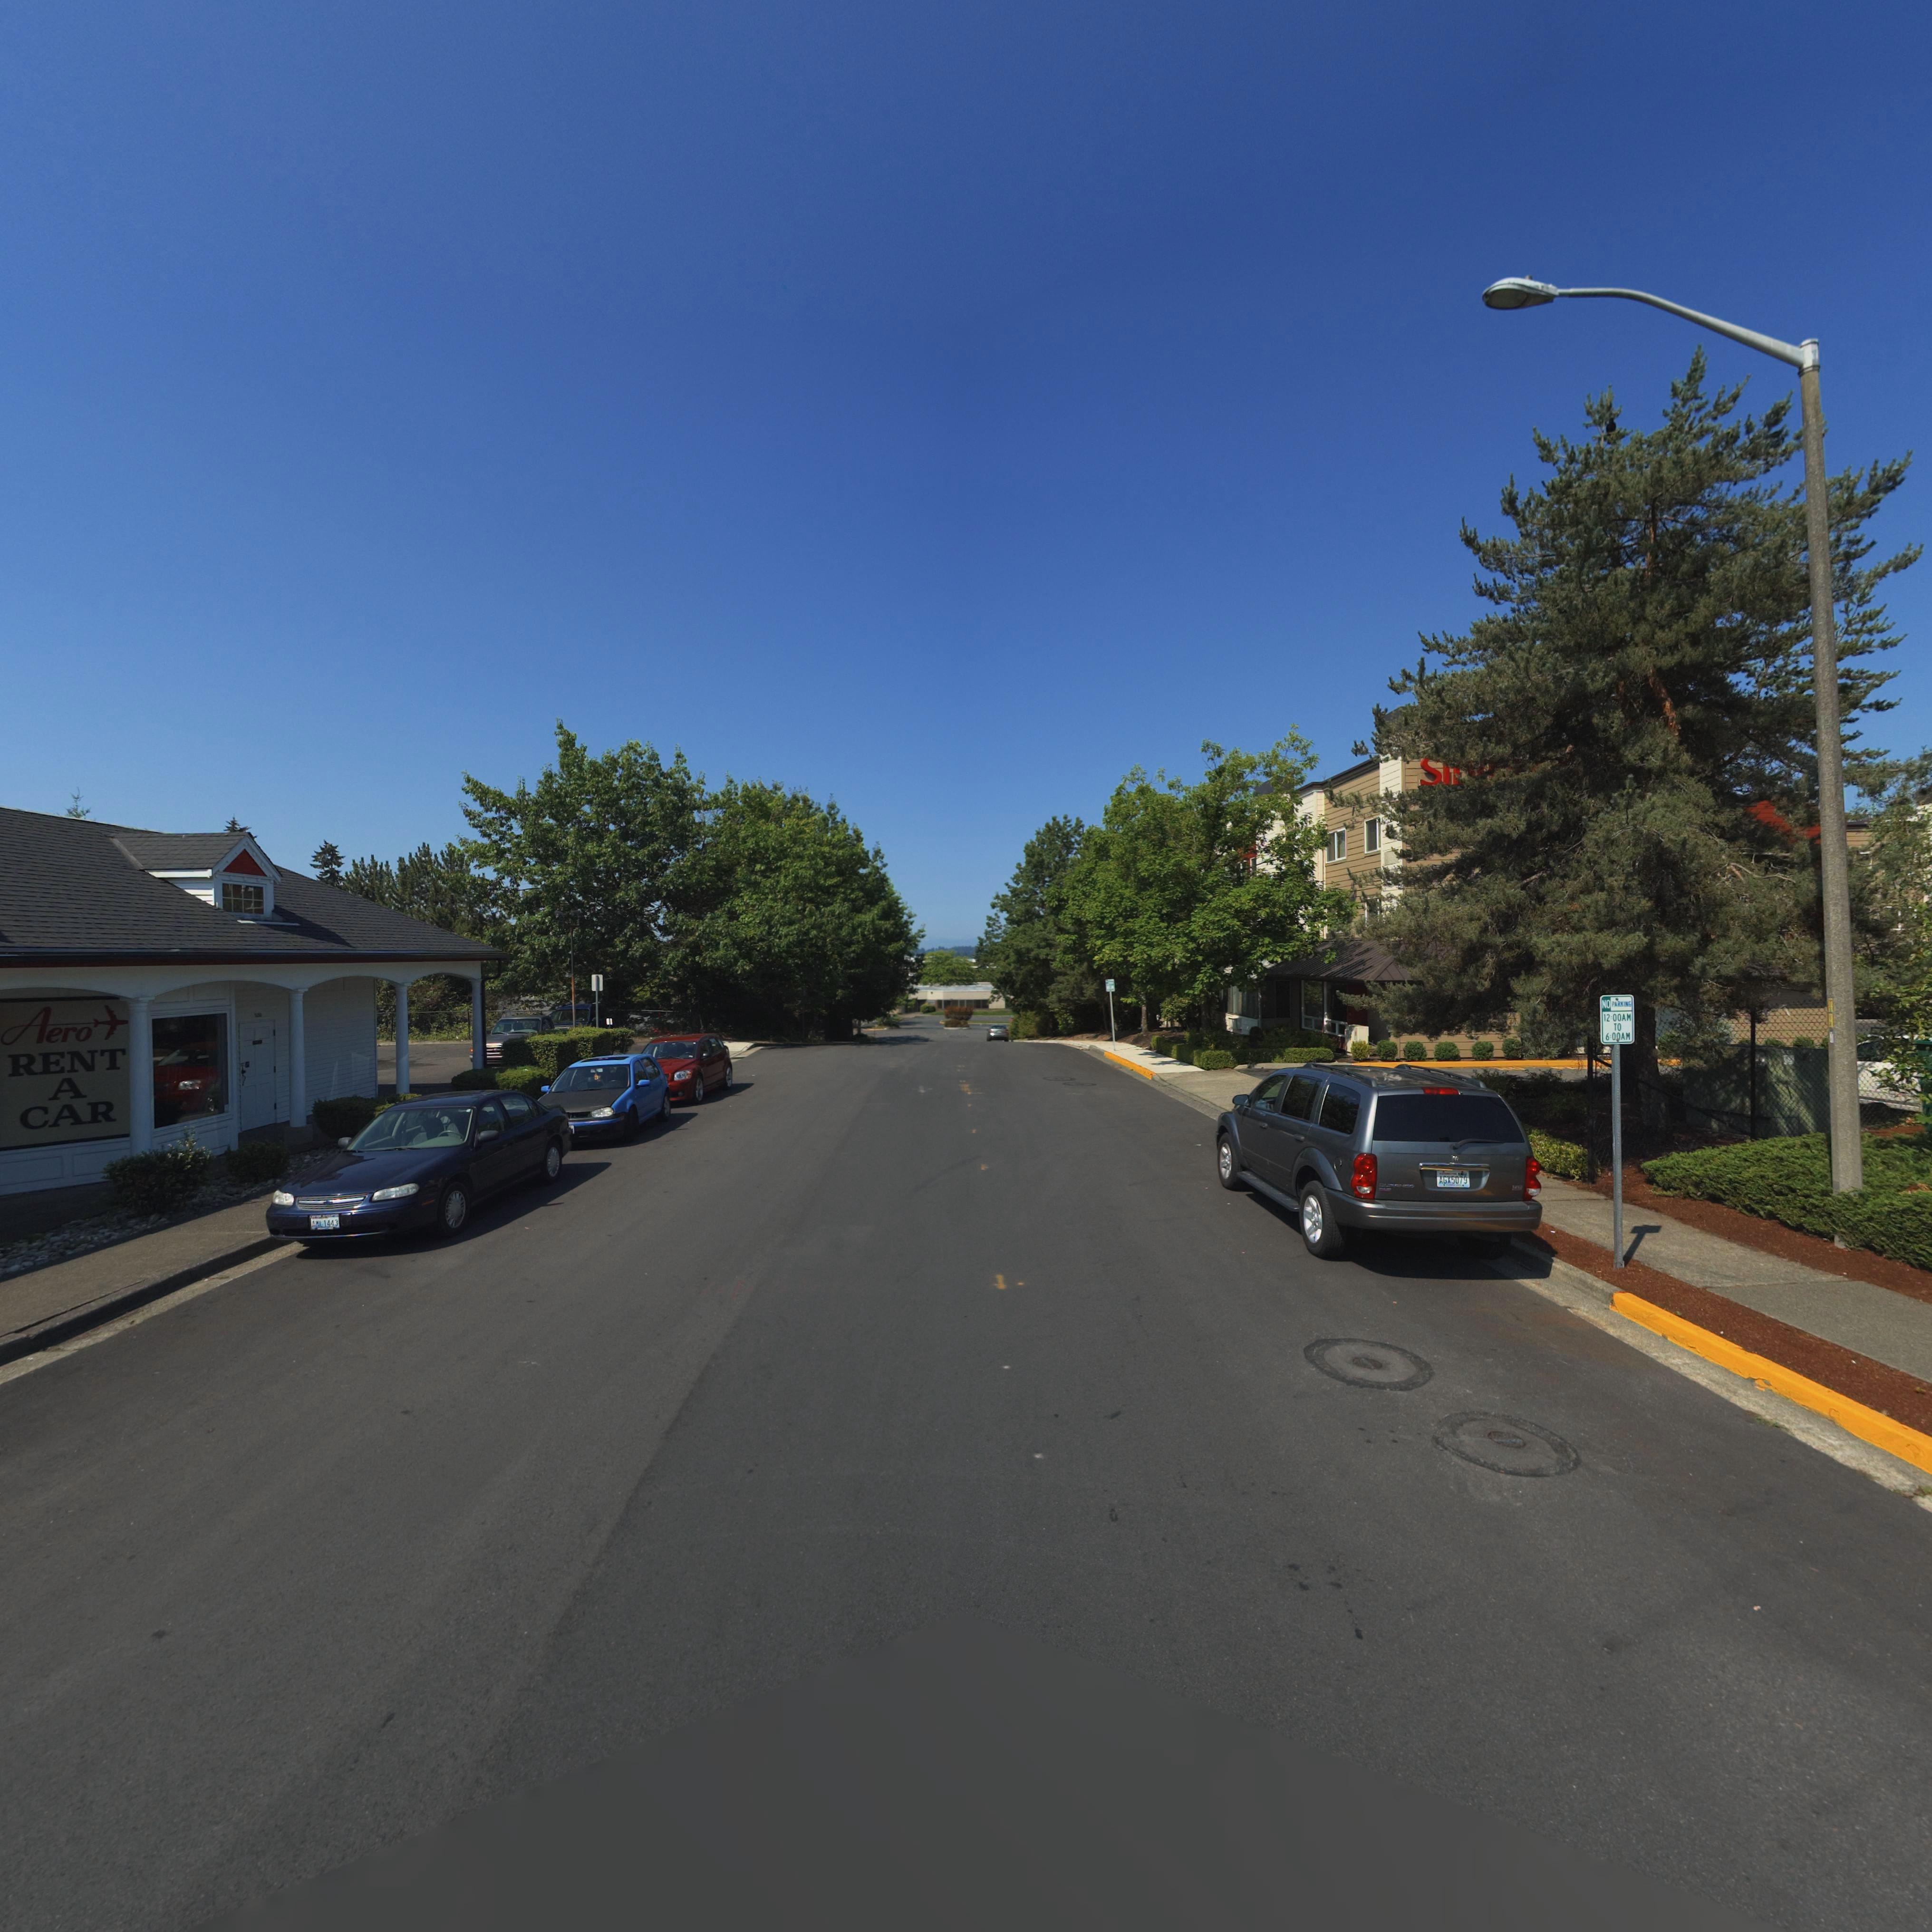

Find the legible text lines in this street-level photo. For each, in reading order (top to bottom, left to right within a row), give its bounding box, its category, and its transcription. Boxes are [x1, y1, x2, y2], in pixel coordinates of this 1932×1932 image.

[3, 1004, 93, 1047] BusinessName: Aero
[7, 1048, 126, 1076] BusinessName: RENT
[47, 1076, 88, 1101] BusinessName: A
[18, 1100, 117, 1131] BusinessName: CAR